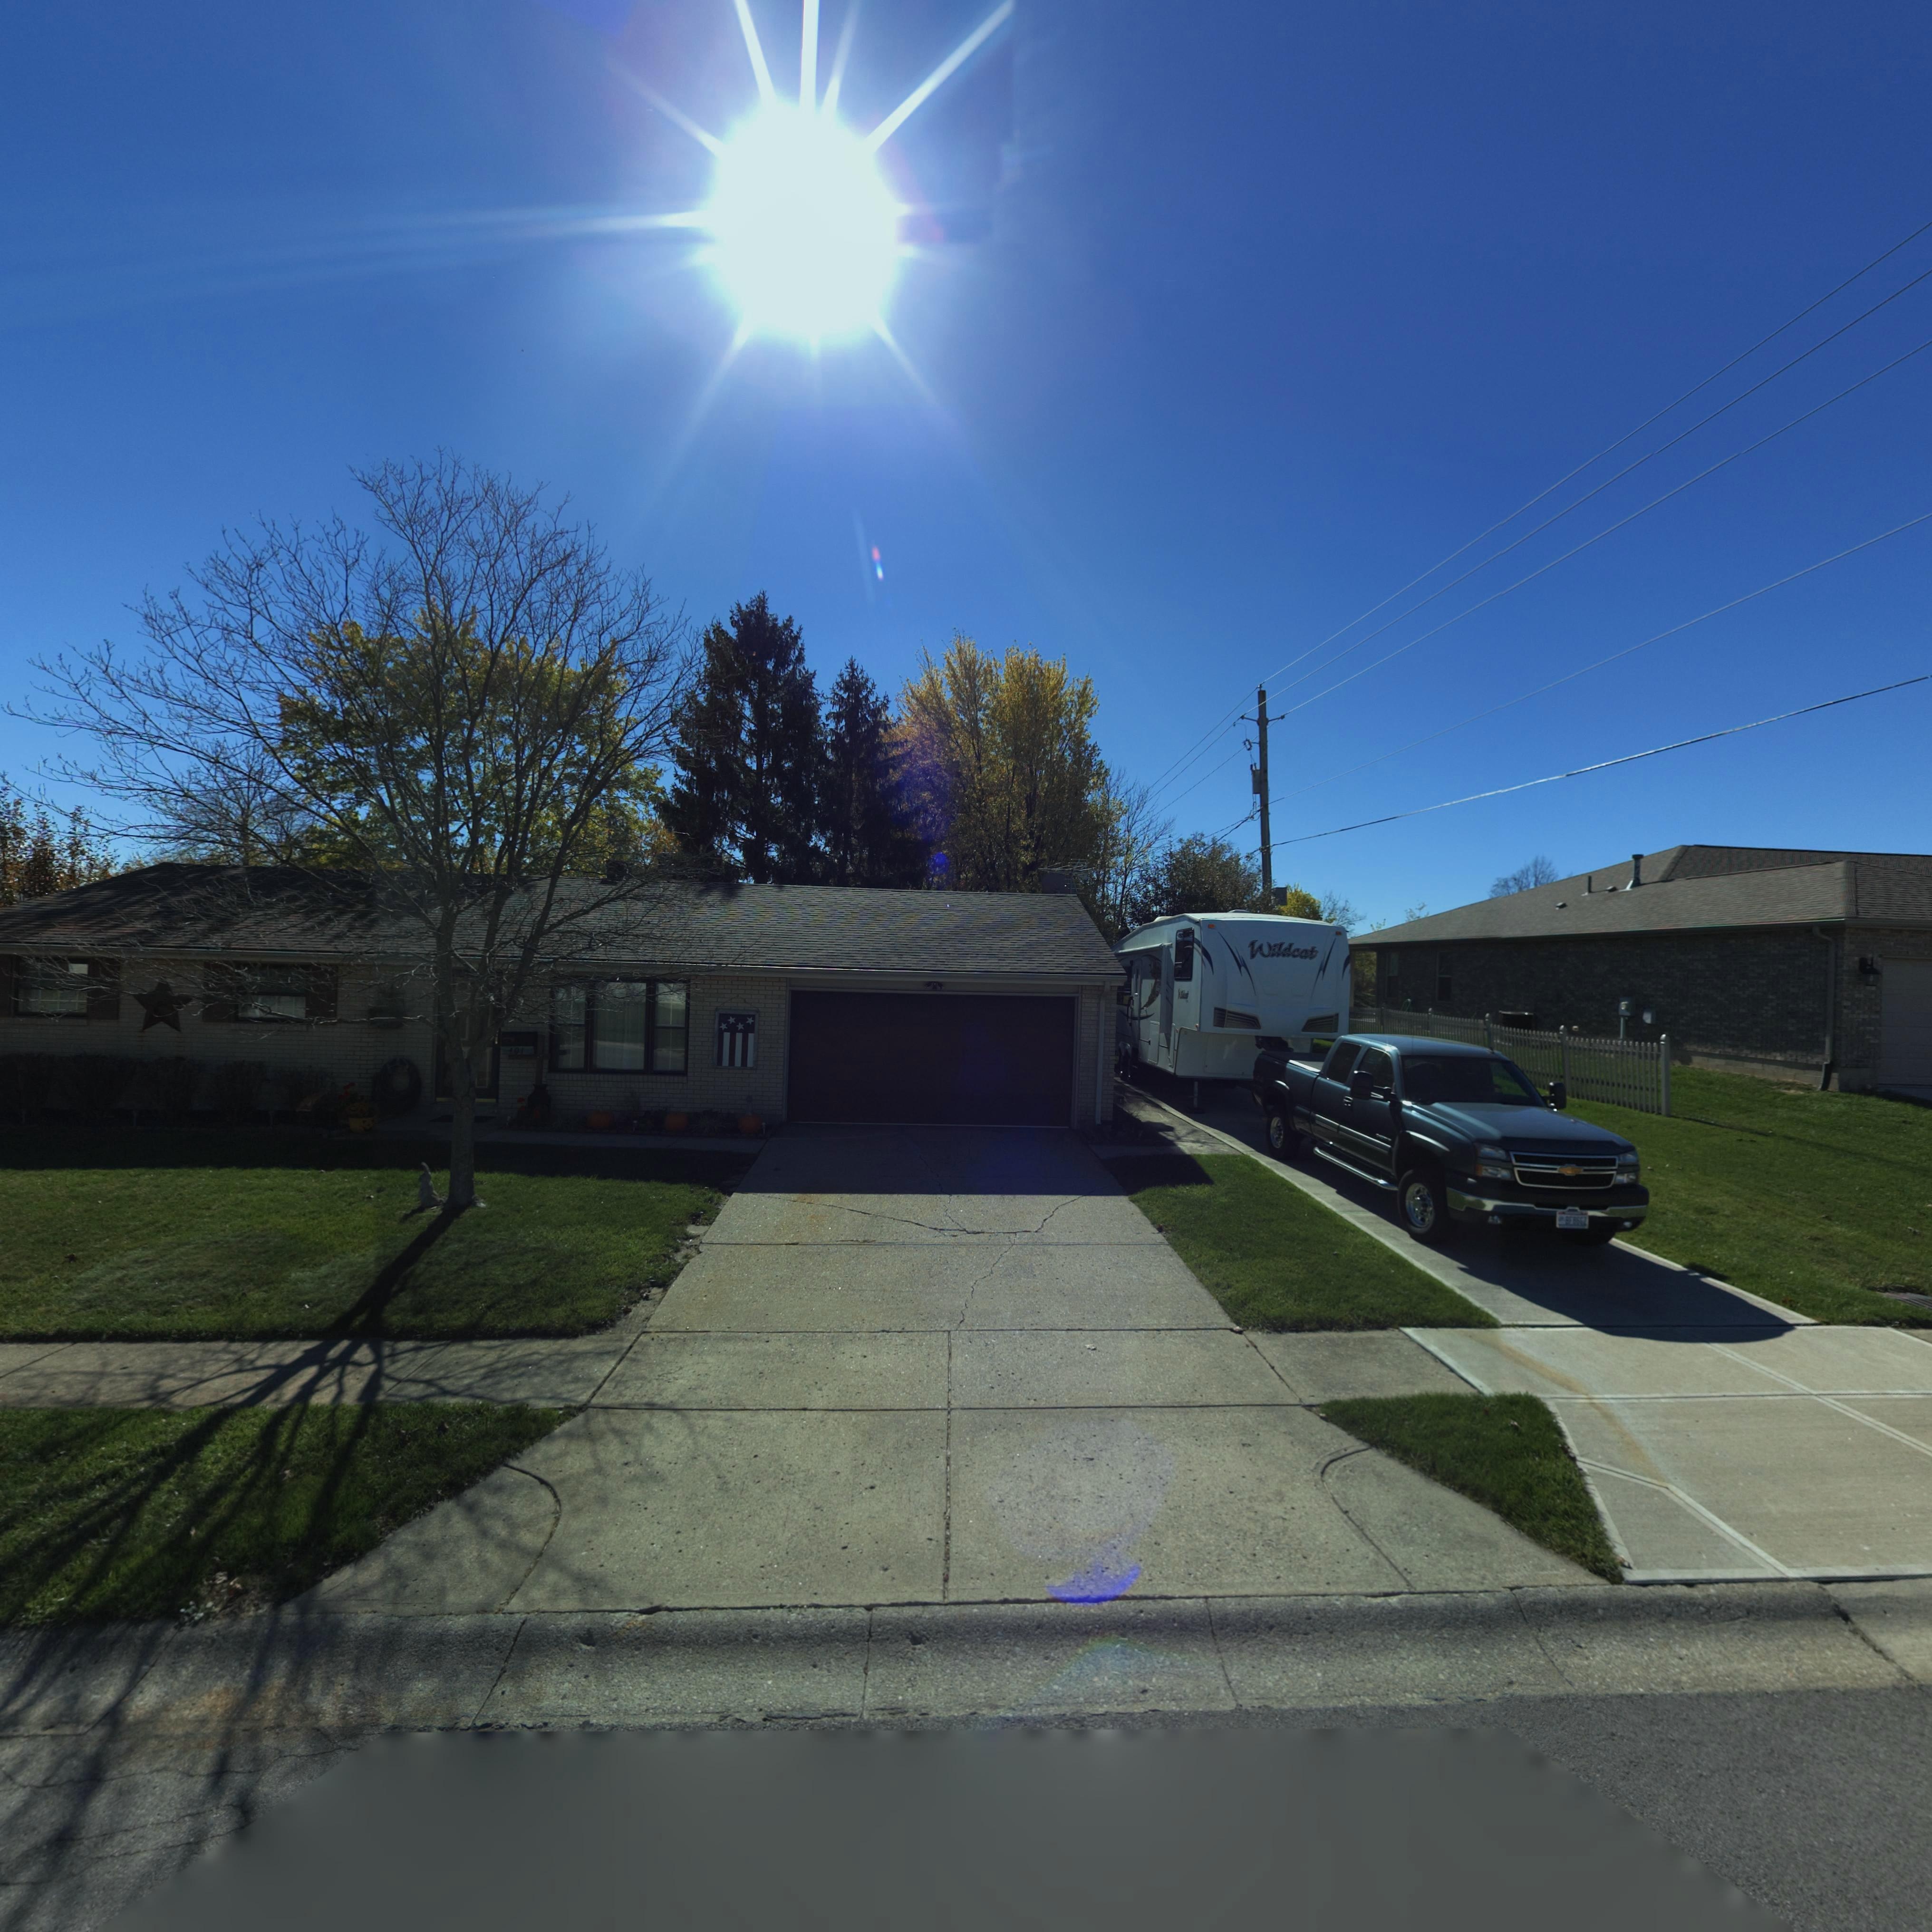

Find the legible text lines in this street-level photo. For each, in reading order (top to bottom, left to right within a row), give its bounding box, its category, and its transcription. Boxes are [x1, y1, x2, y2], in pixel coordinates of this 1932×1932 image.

[507, 1047, 524, 1055] StreetNumber: 401